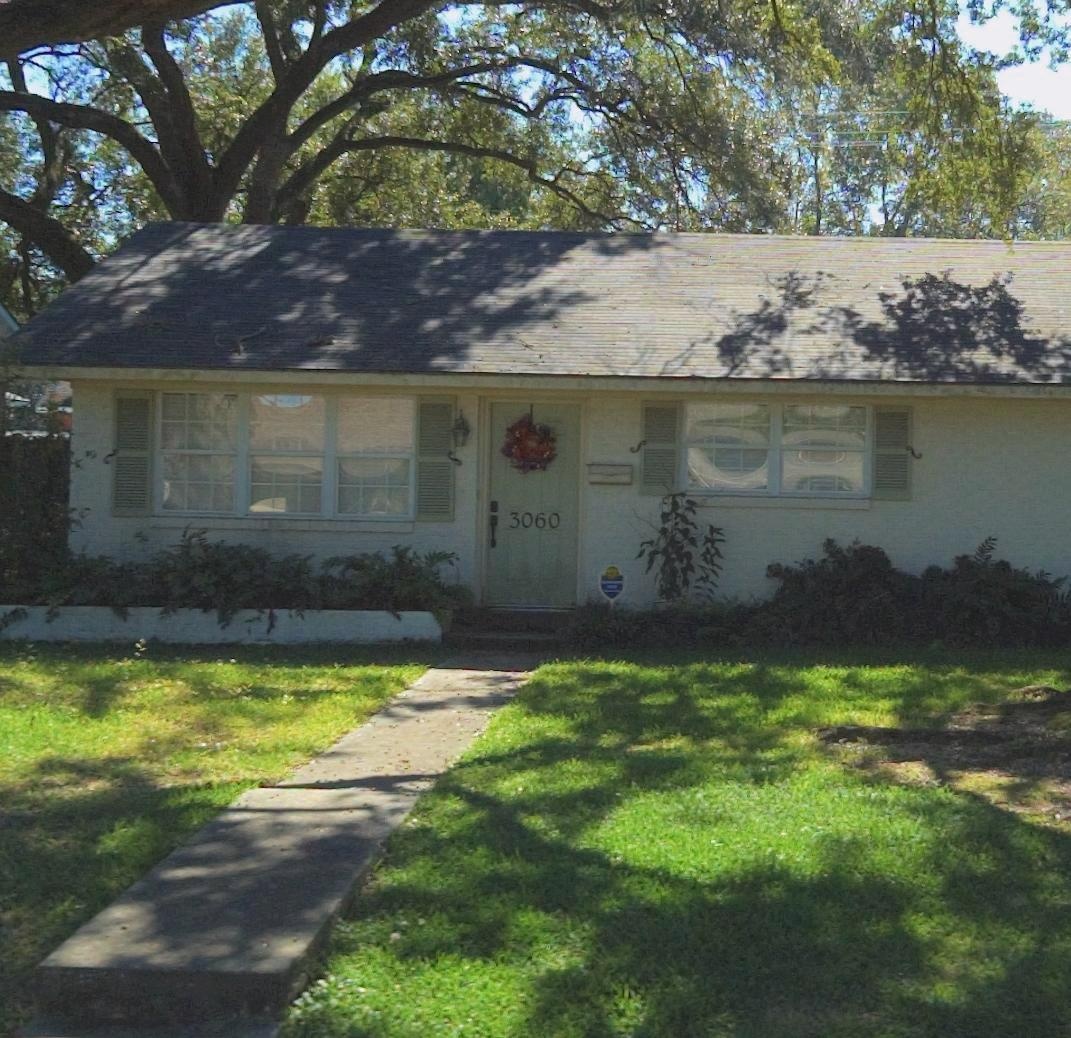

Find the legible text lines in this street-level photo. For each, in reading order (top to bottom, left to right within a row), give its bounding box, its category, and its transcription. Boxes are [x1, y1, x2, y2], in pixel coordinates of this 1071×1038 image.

[508, 510, 561, 530] StreetNumber: 3060